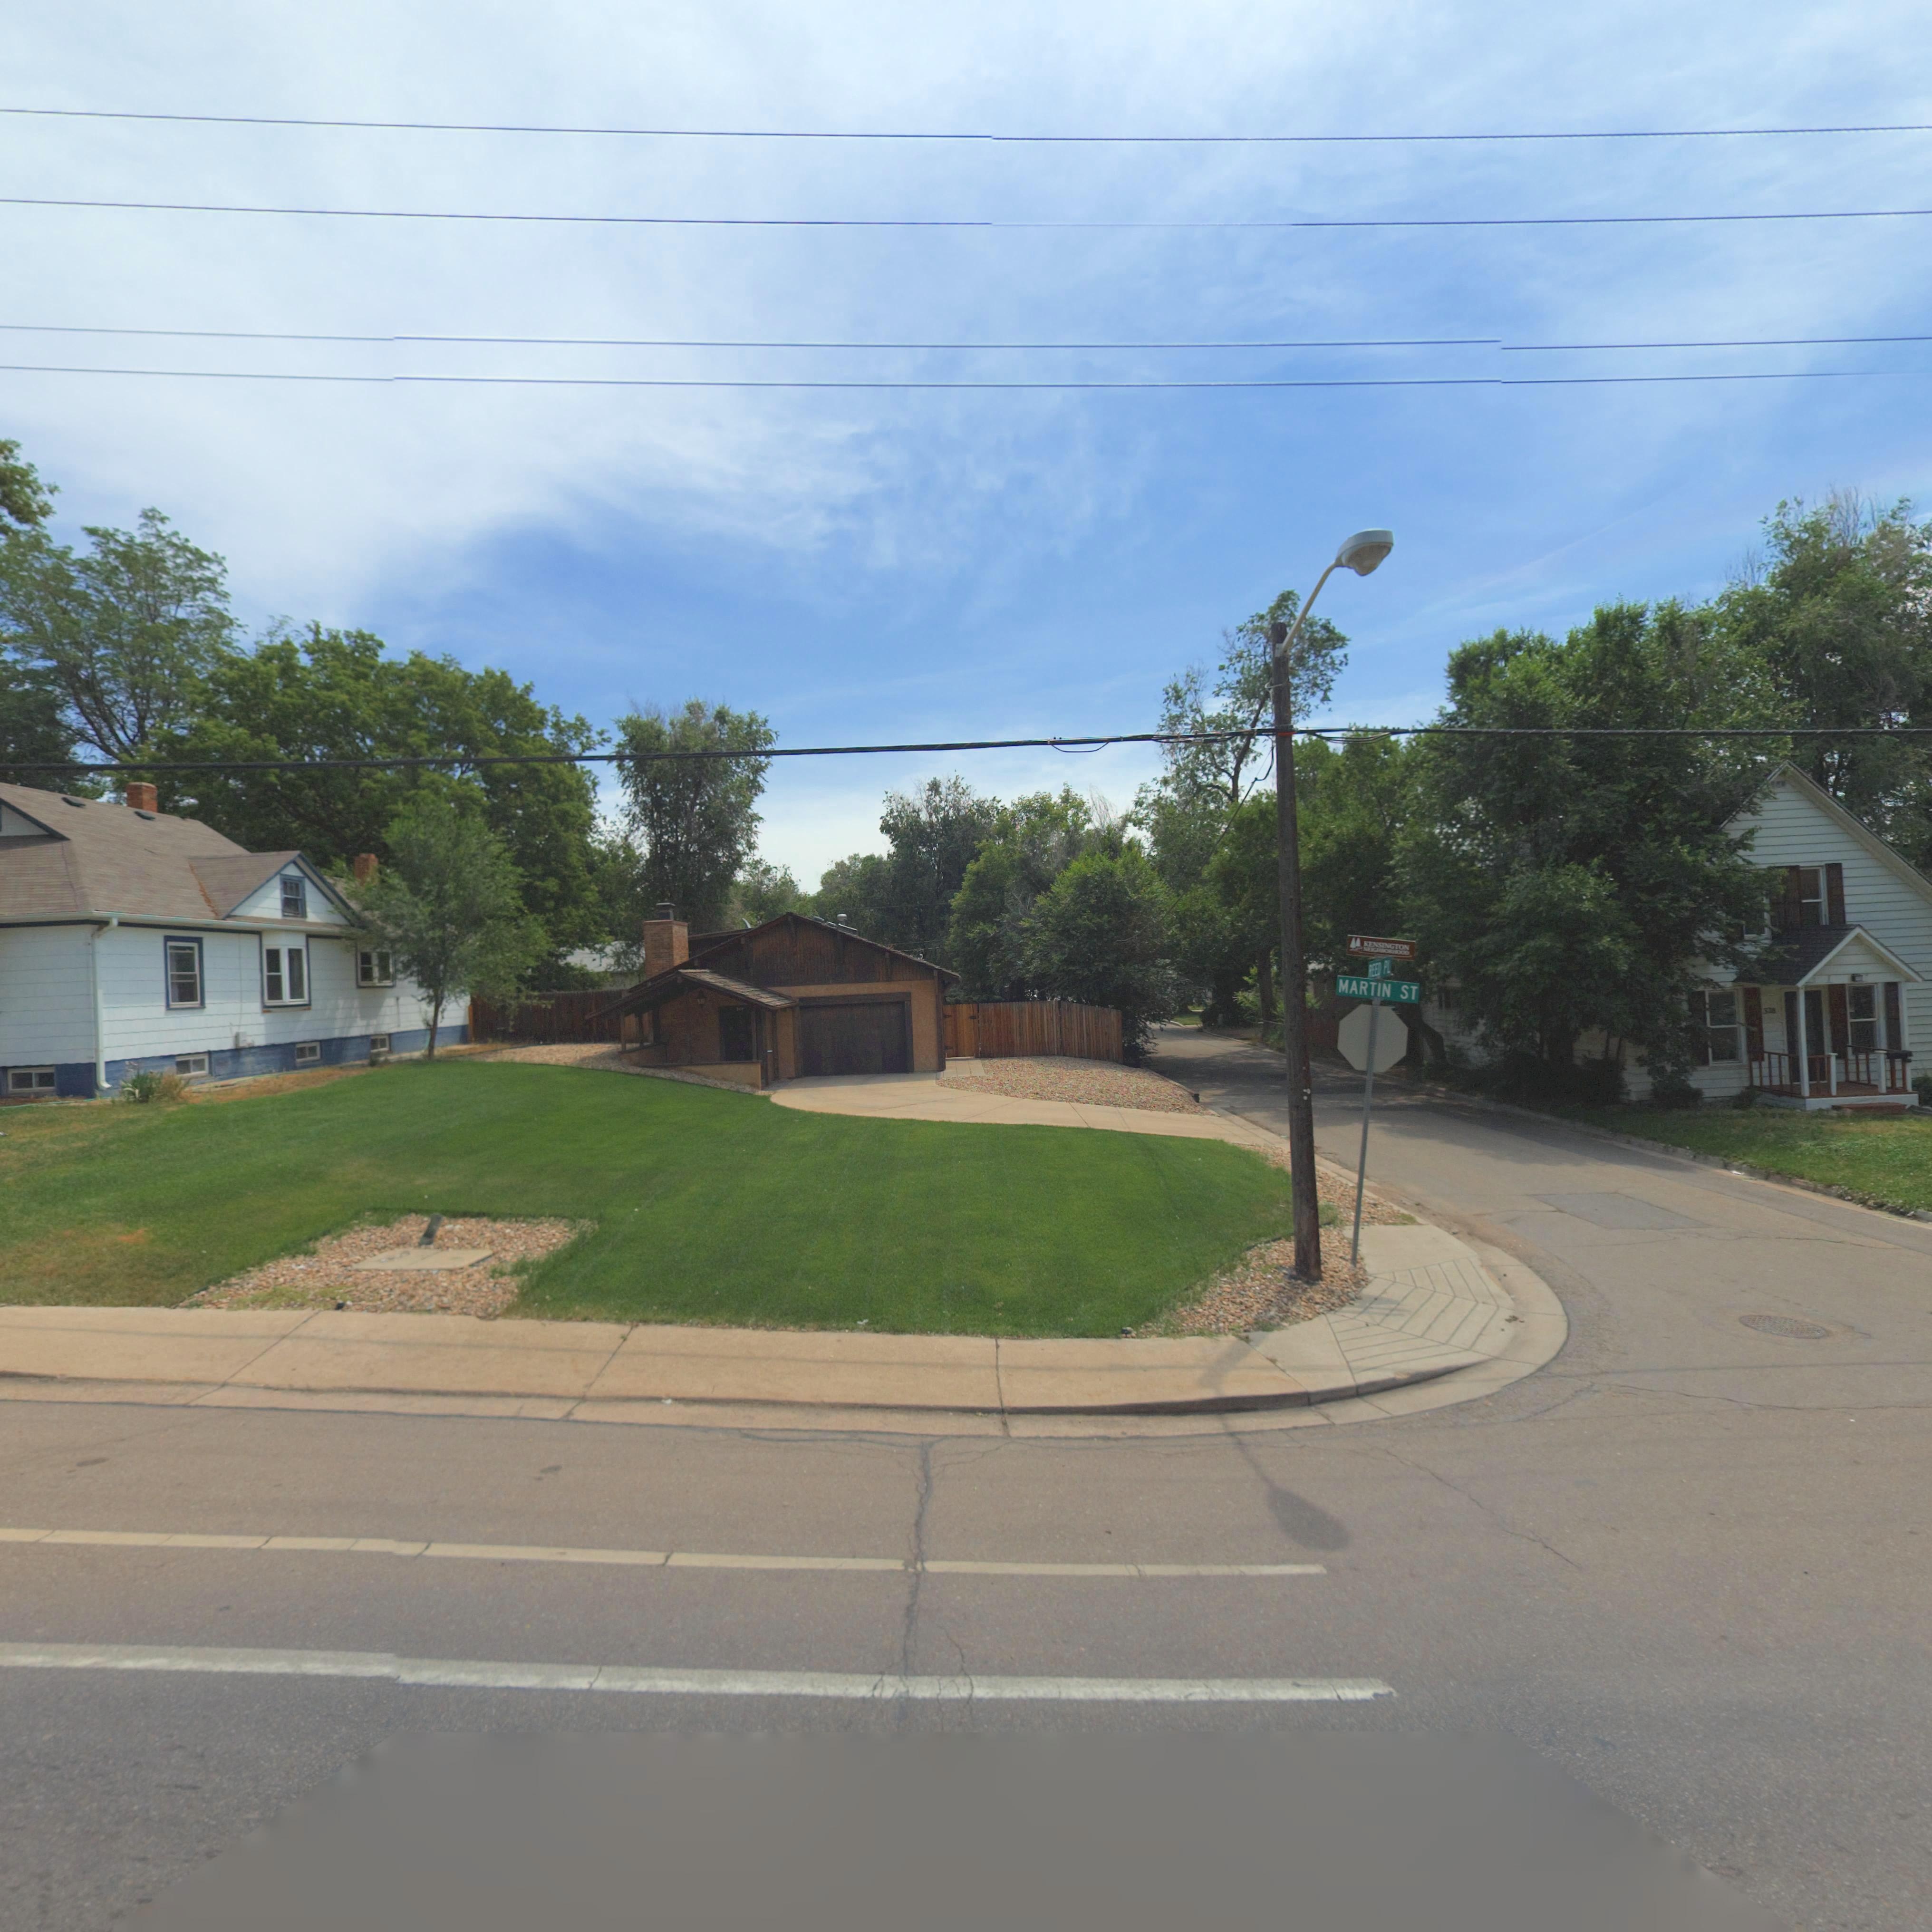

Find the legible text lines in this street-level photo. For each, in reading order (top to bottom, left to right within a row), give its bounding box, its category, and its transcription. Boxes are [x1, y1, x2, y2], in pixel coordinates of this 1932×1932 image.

[1367, 958, 1392, 977] StreetName: REED PL
[1337, 979, 1419, 1000] StreetName: MARTIN ST